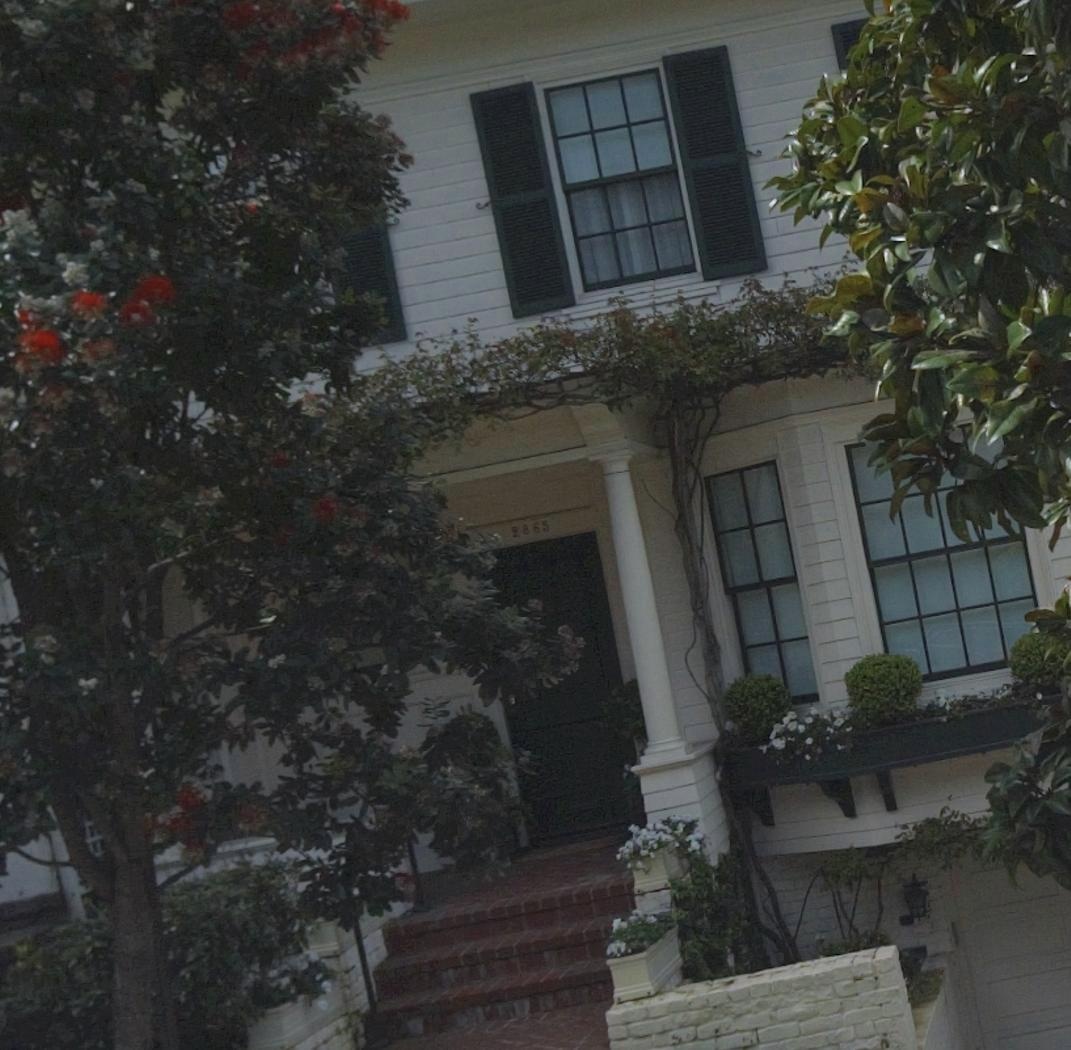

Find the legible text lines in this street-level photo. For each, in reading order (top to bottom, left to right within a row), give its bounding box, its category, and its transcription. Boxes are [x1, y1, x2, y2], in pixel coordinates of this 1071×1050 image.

[508, 516, 553, 541] StreetNumber: 2865